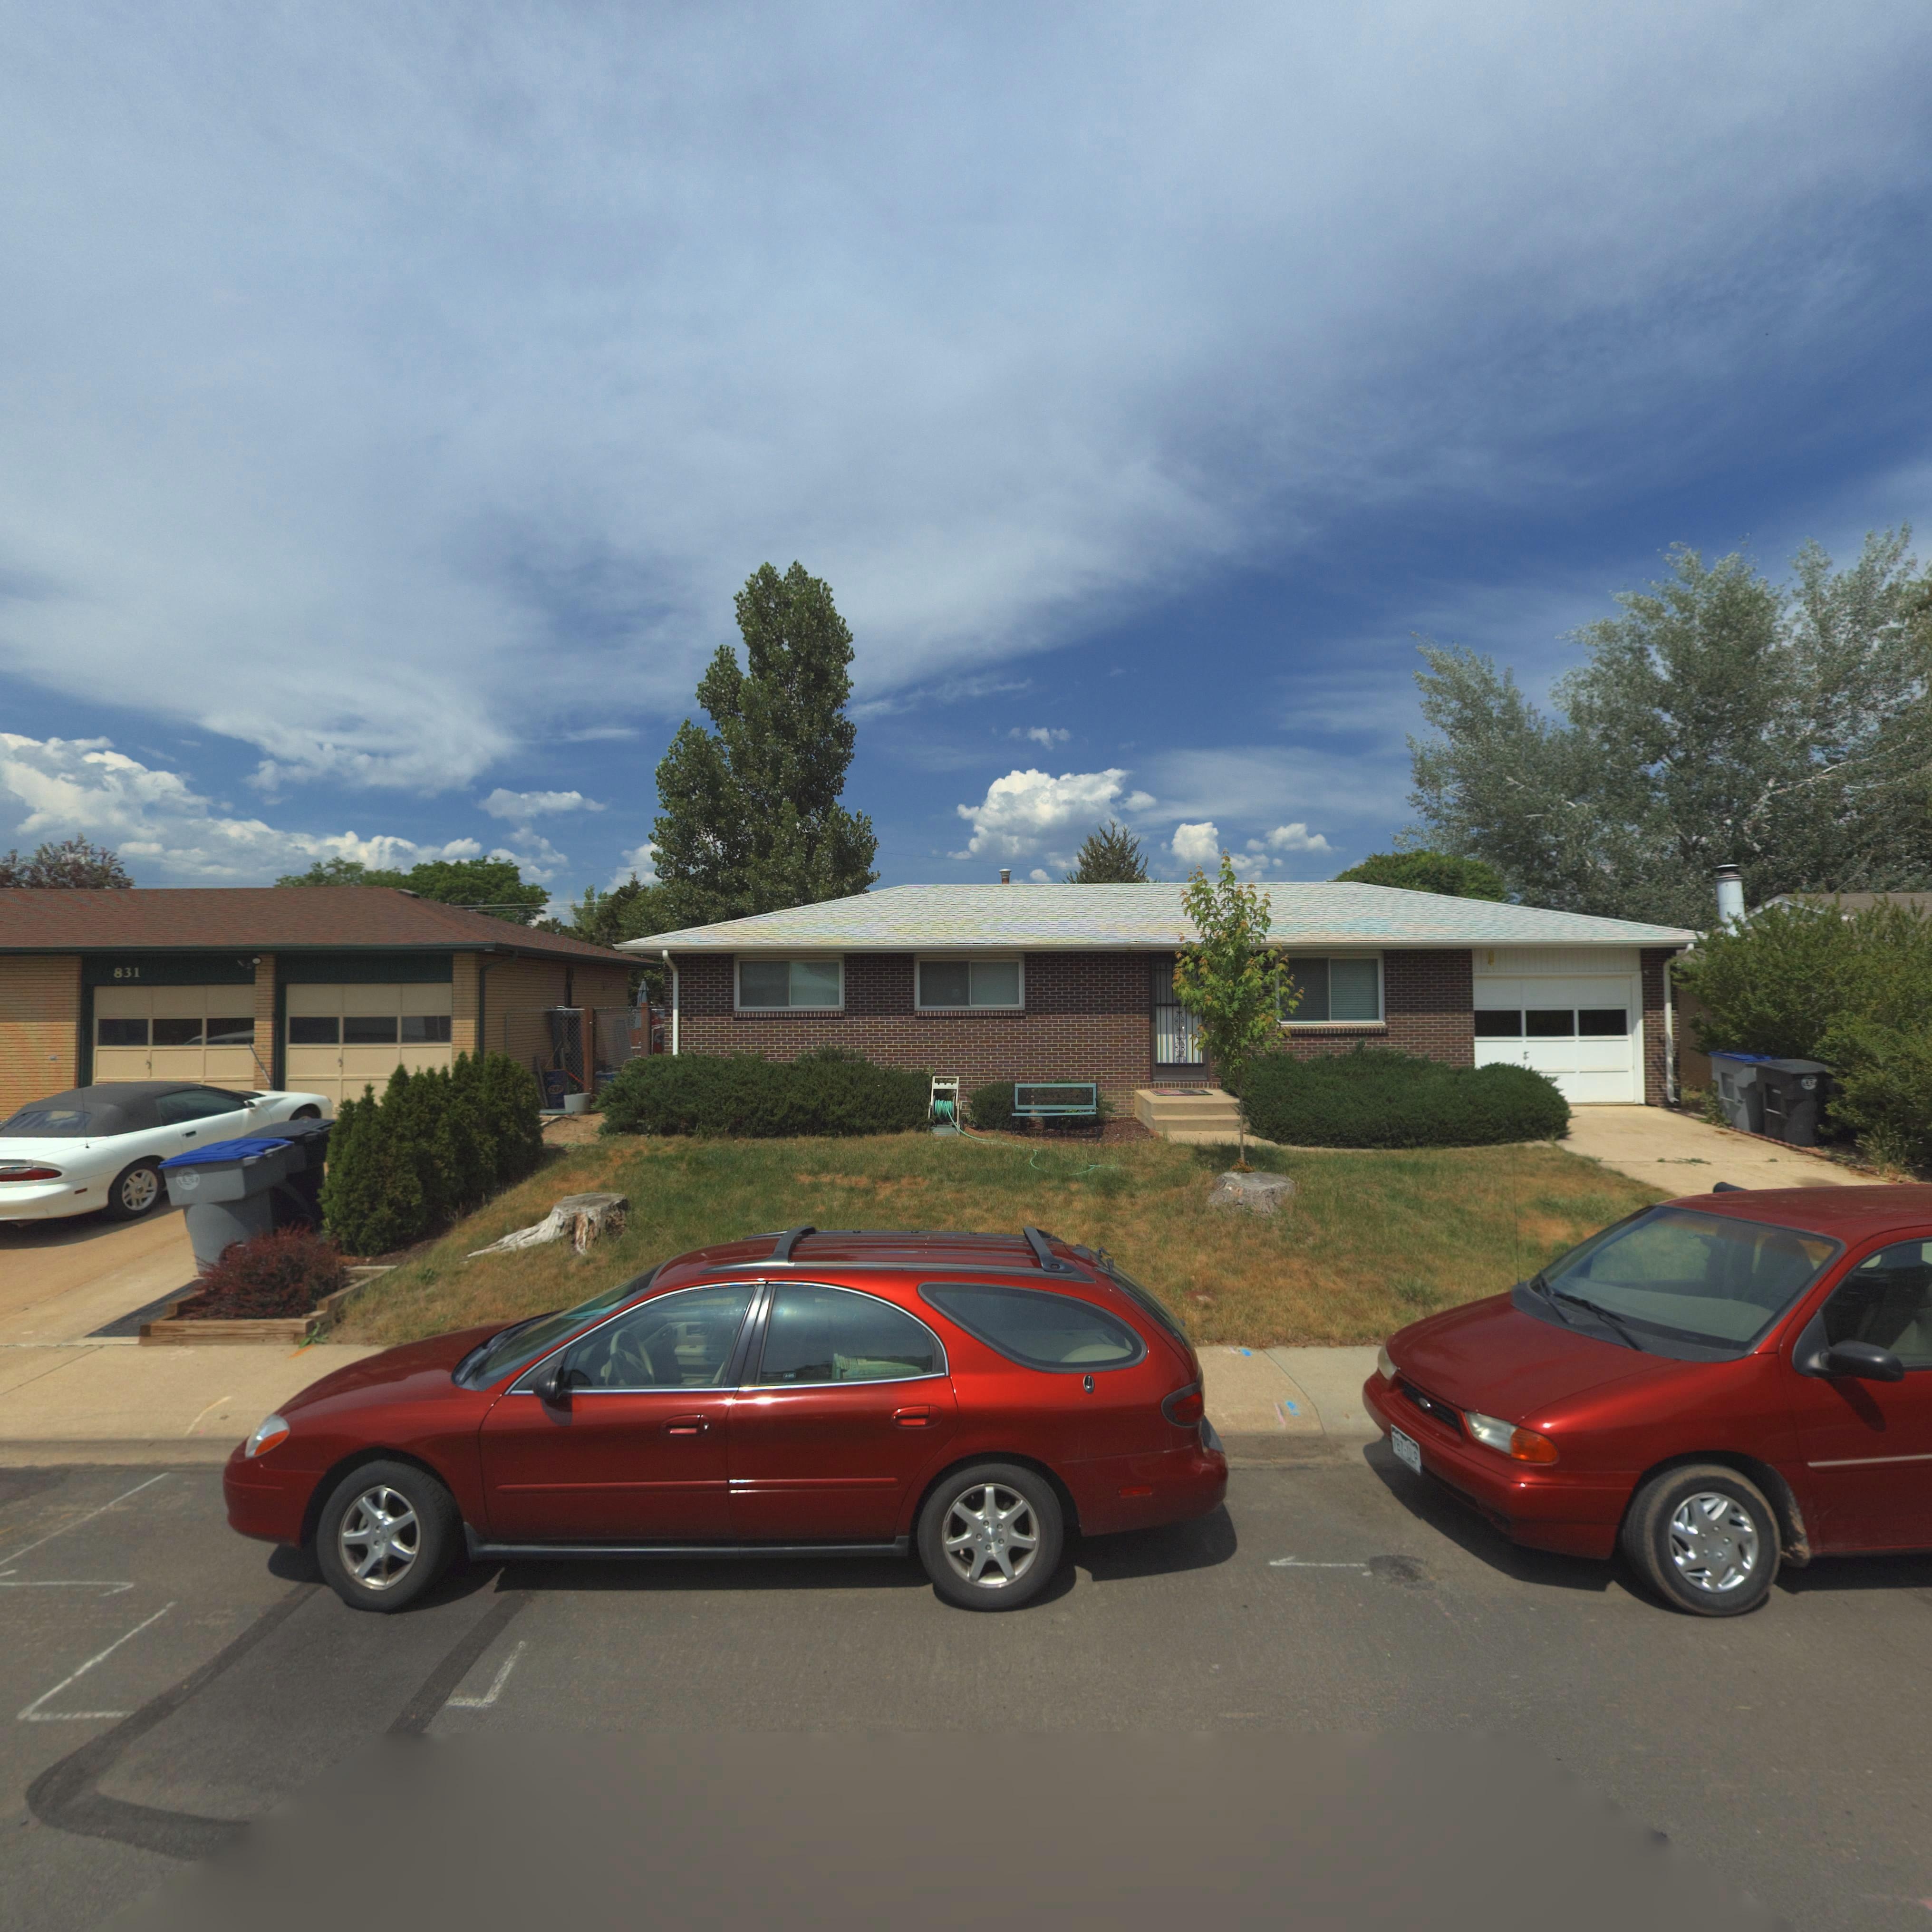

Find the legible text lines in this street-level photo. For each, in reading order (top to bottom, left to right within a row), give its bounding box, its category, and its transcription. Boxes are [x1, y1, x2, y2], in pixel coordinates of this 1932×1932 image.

[113, 967, 140, 978] StreetNumber: 831